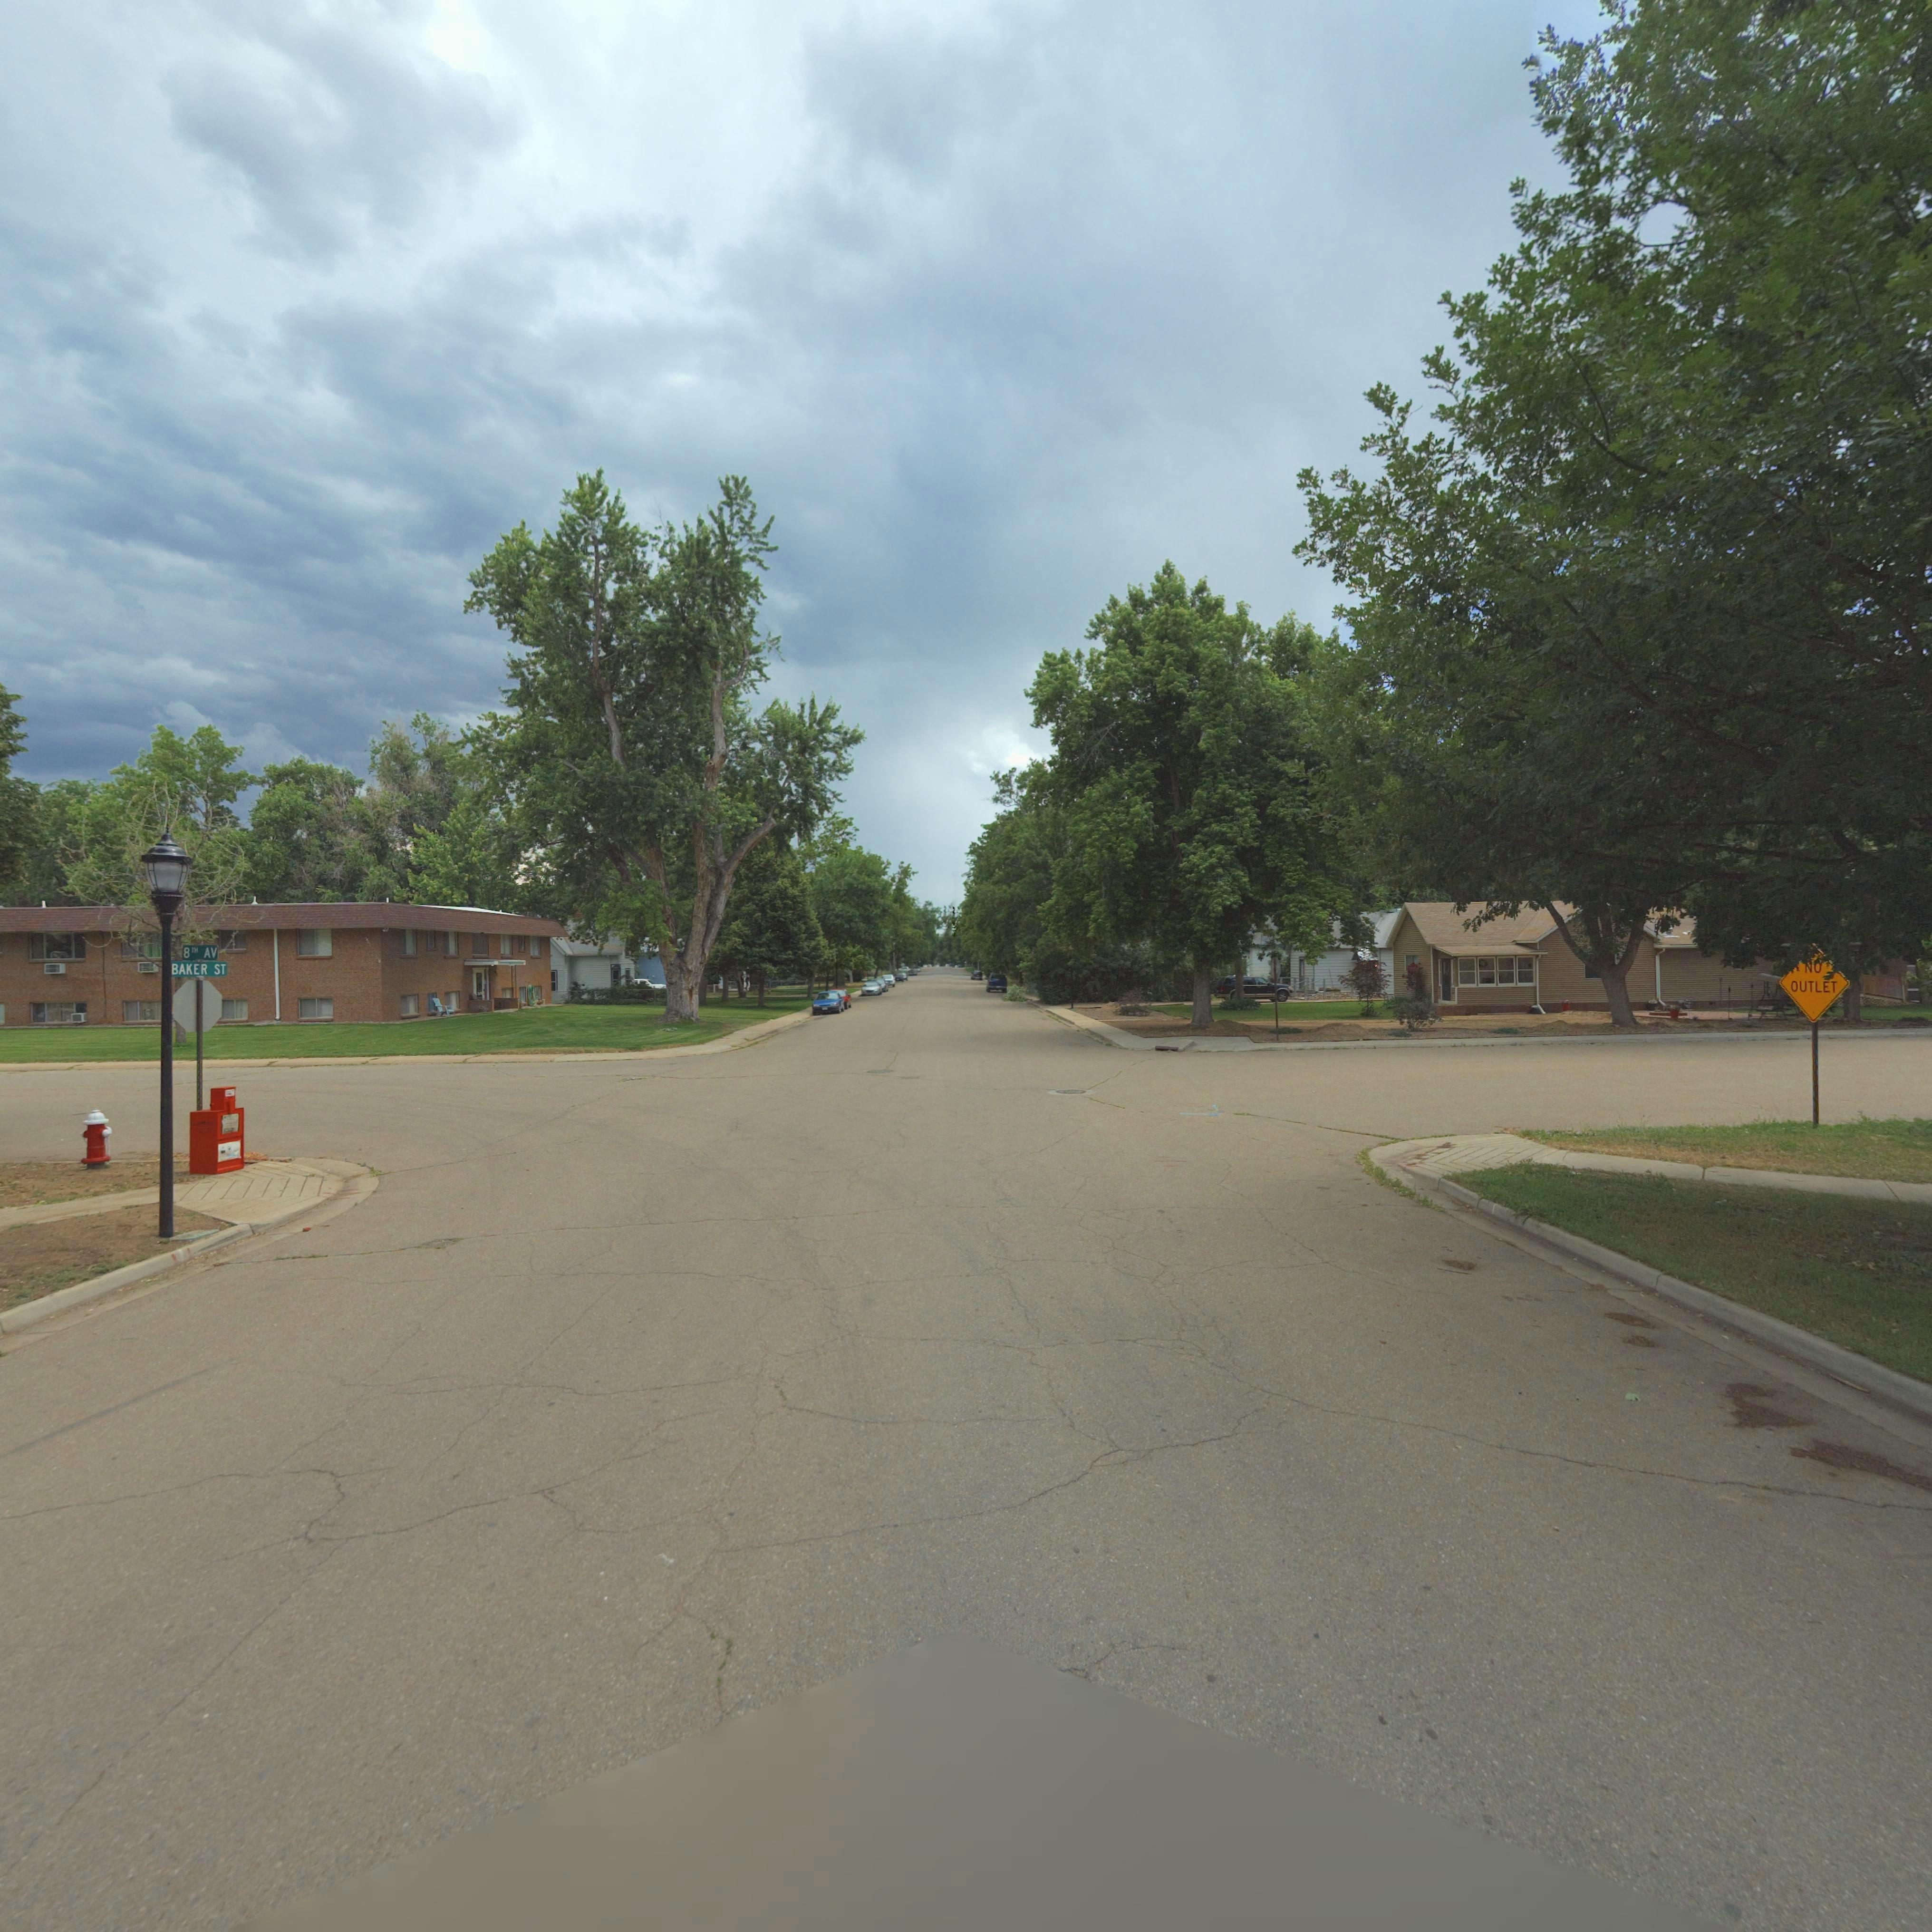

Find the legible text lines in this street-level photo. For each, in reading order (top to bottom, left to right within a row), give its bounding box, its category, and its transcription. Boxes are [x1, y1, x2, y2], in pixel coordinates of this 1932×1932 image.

[183, 947, 217, 959] StreetName: 8TH AV
[171, 963, 227, 975] StreetName: BAKER ST